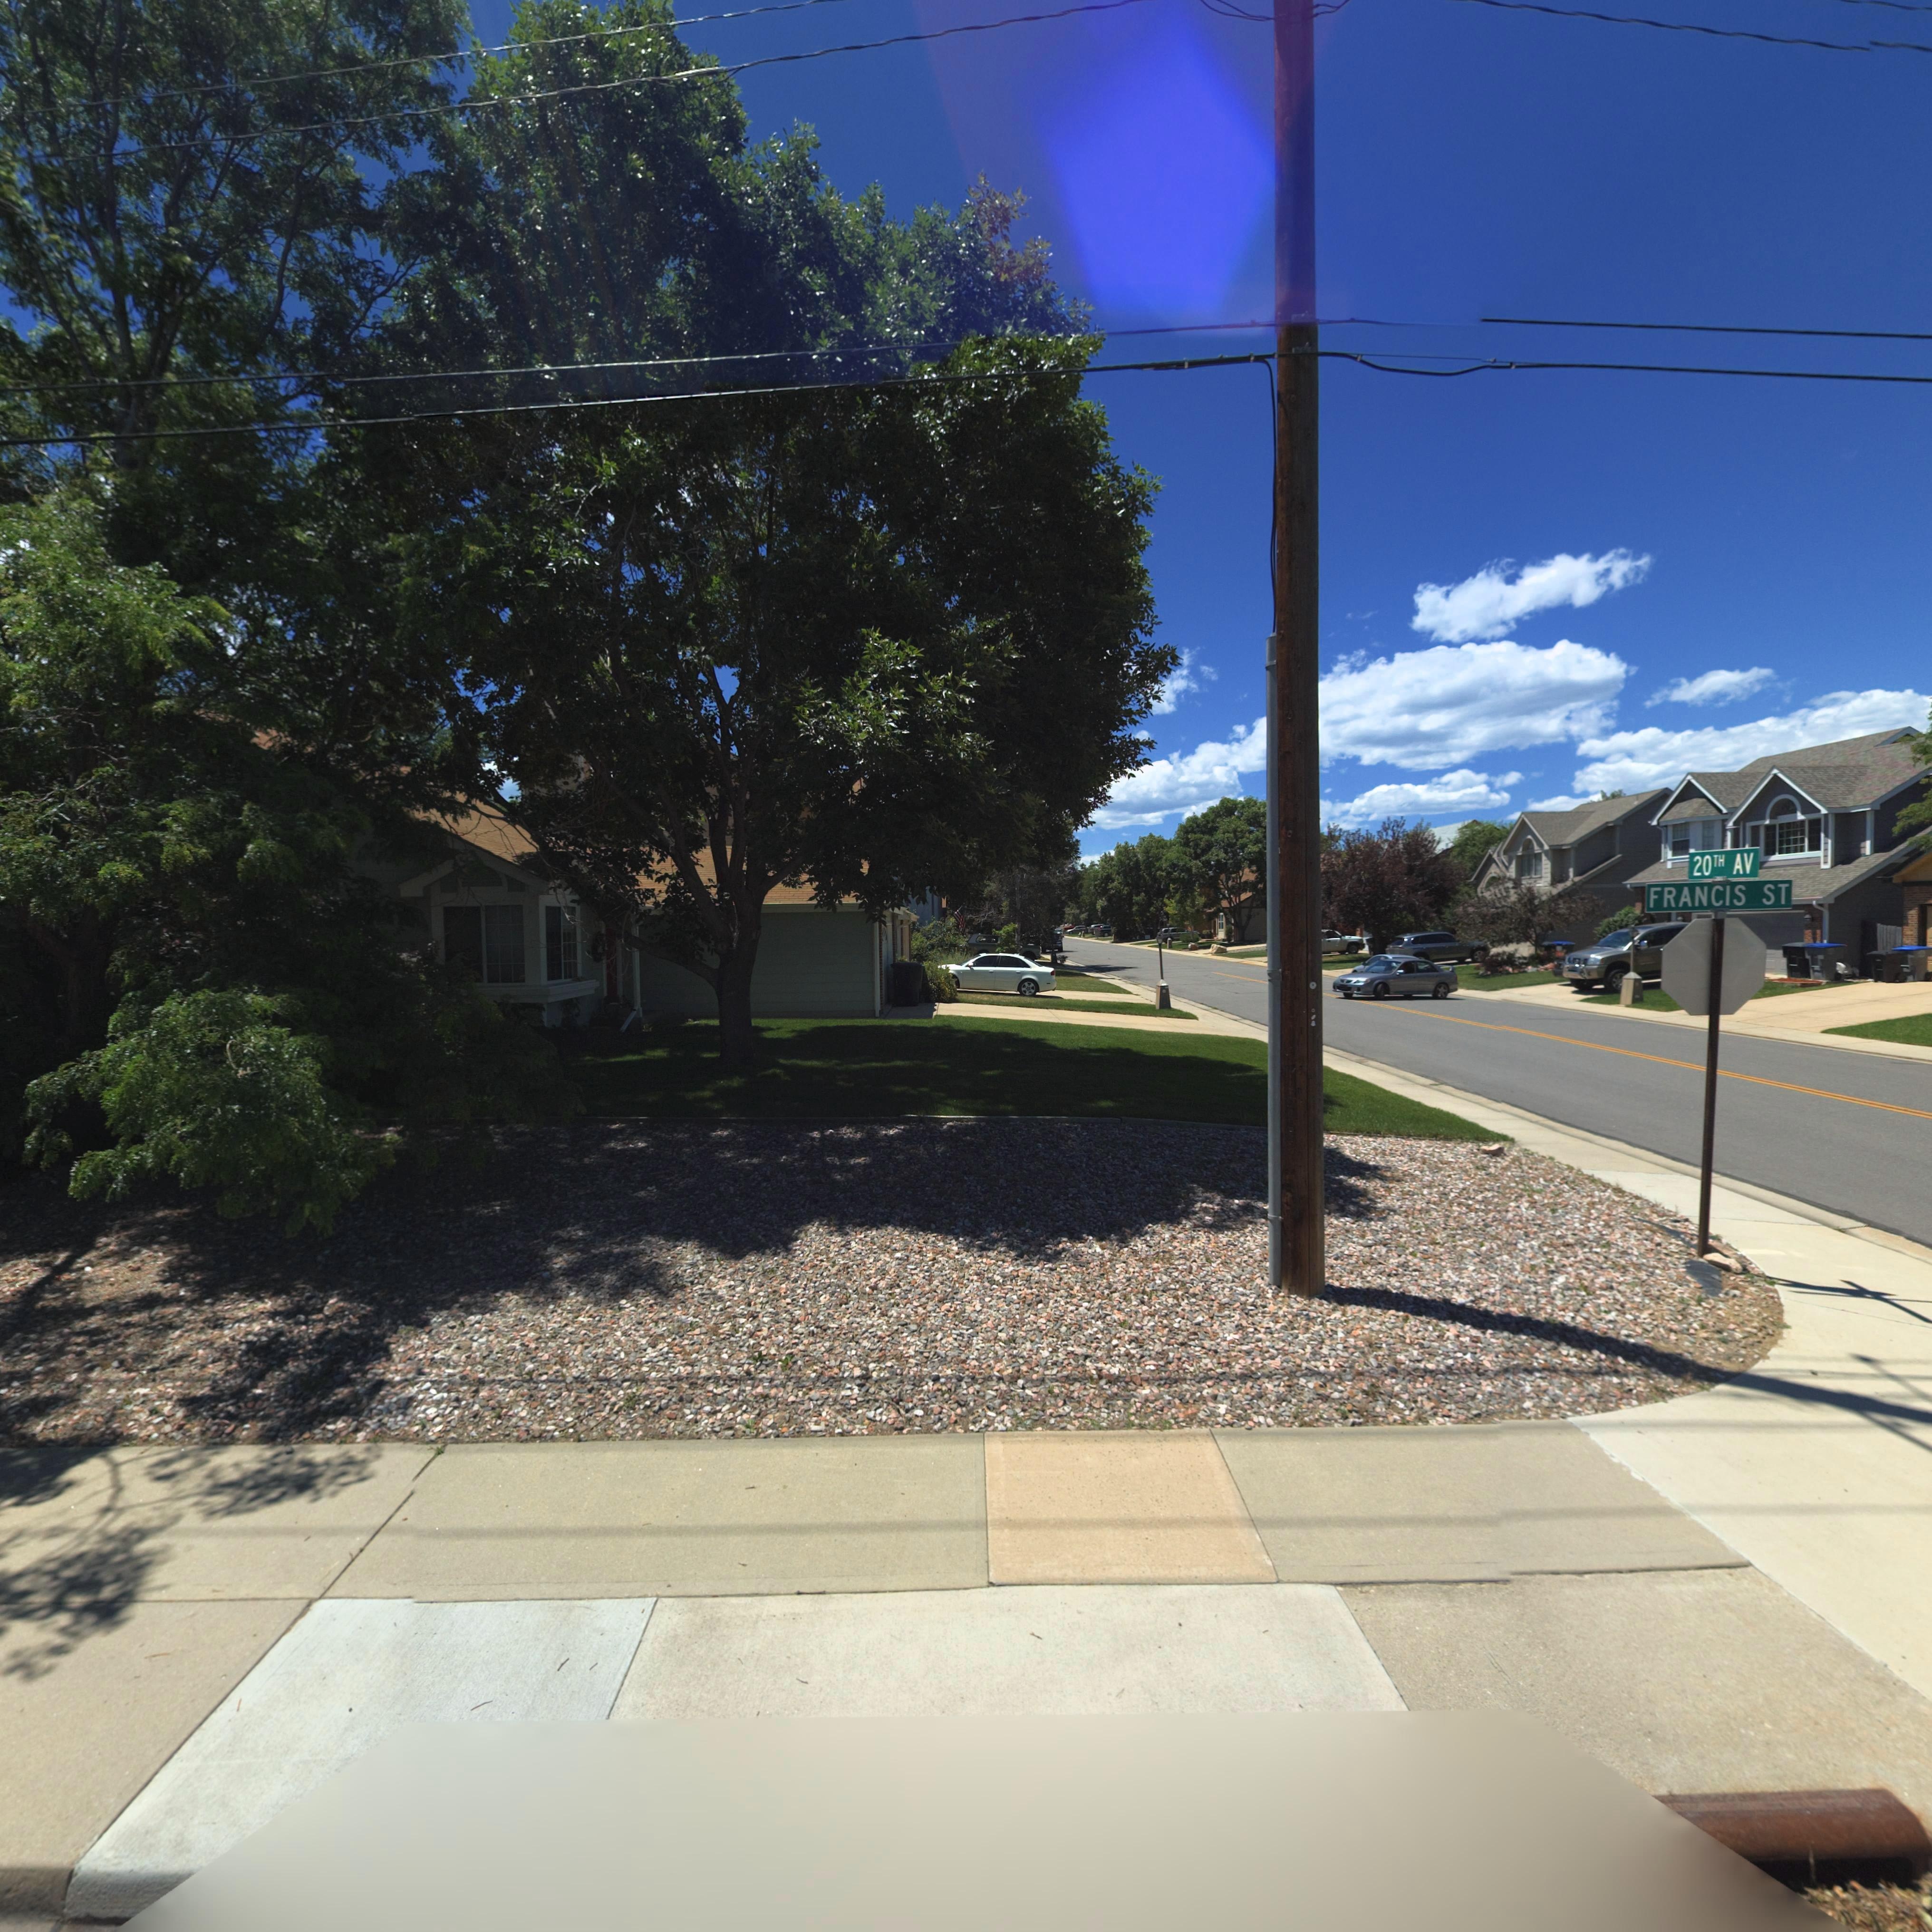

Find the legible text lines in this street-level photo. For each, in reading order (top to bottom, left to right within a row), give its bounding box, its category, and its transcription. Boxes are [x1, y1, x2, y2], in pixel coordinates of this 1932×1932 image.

[1692, 851, 1754, 876] StreetName: 20TH AV
[1649, 883, 1789, 908] StreetName: FRANCIS ST